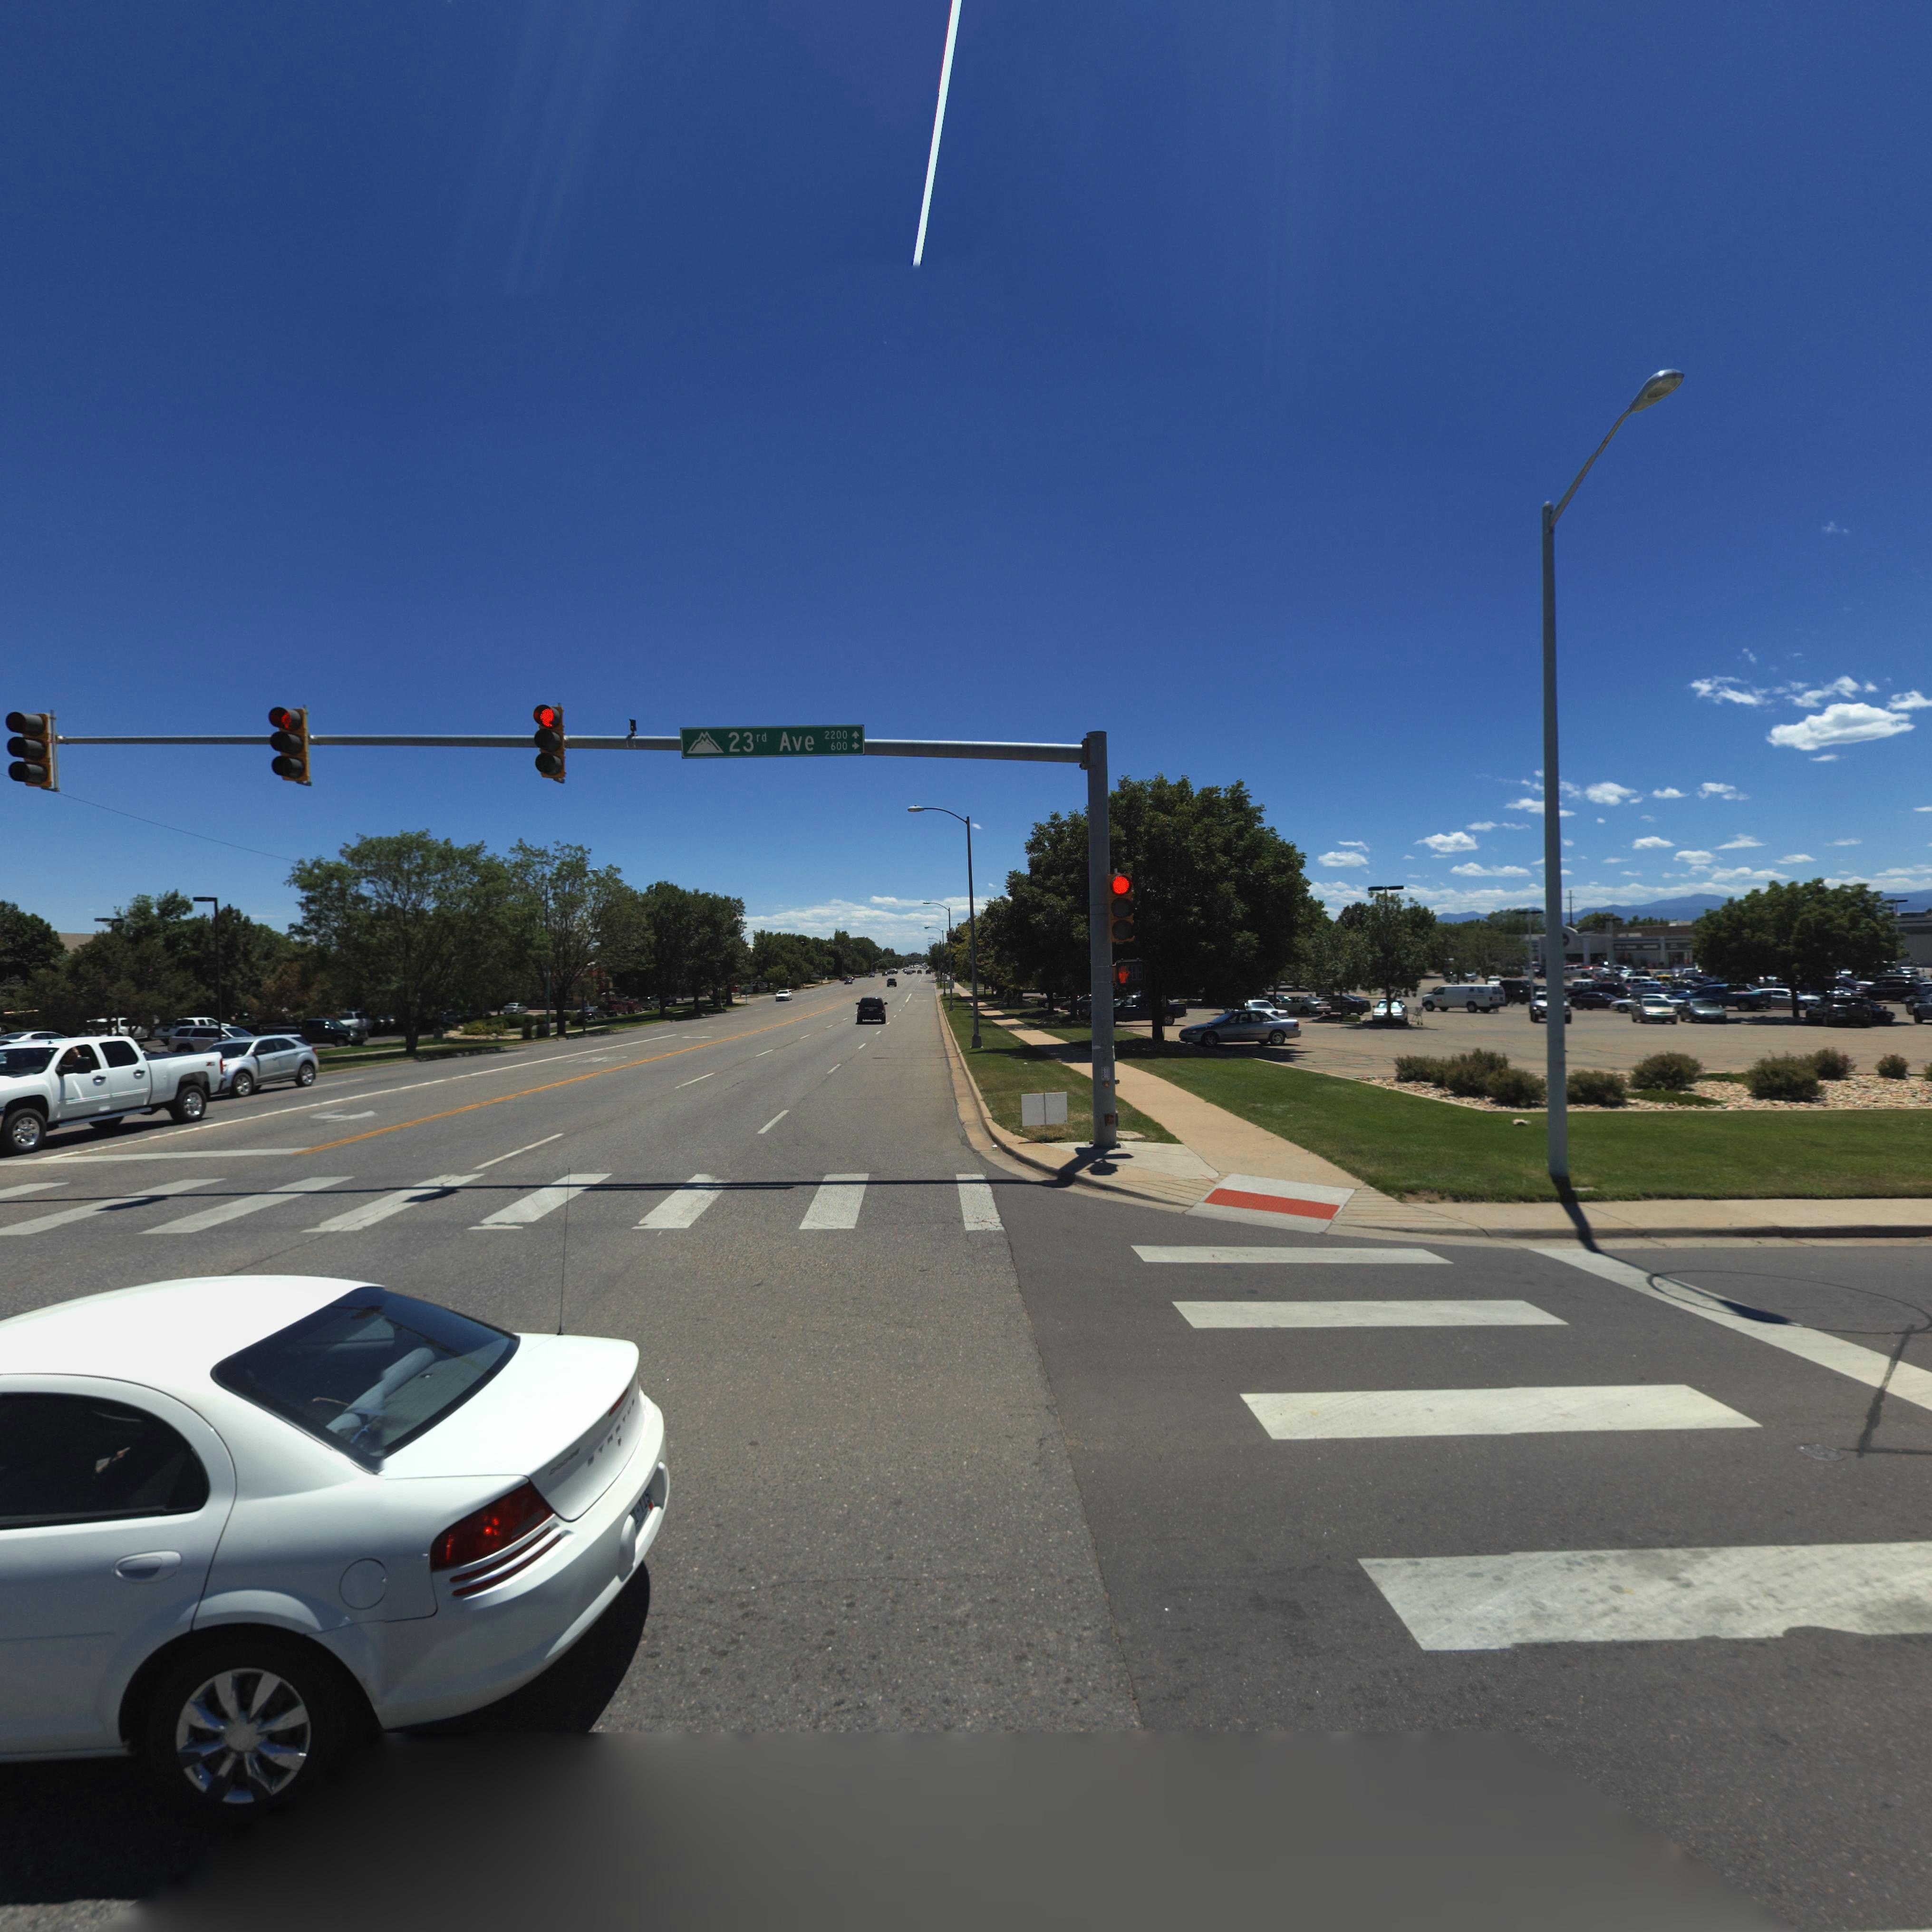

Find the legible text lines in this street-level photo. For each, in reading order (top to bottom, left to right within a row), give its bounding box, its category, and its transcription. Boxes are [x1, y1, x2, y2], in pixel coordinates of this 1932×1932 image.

[824, 730, 847, 740] StreetNumberRange: 2200
[727, 730, 814, 753] StreetName: 23rd Ave
[831, 741, 860, 751] StreetNumberRange: 600->